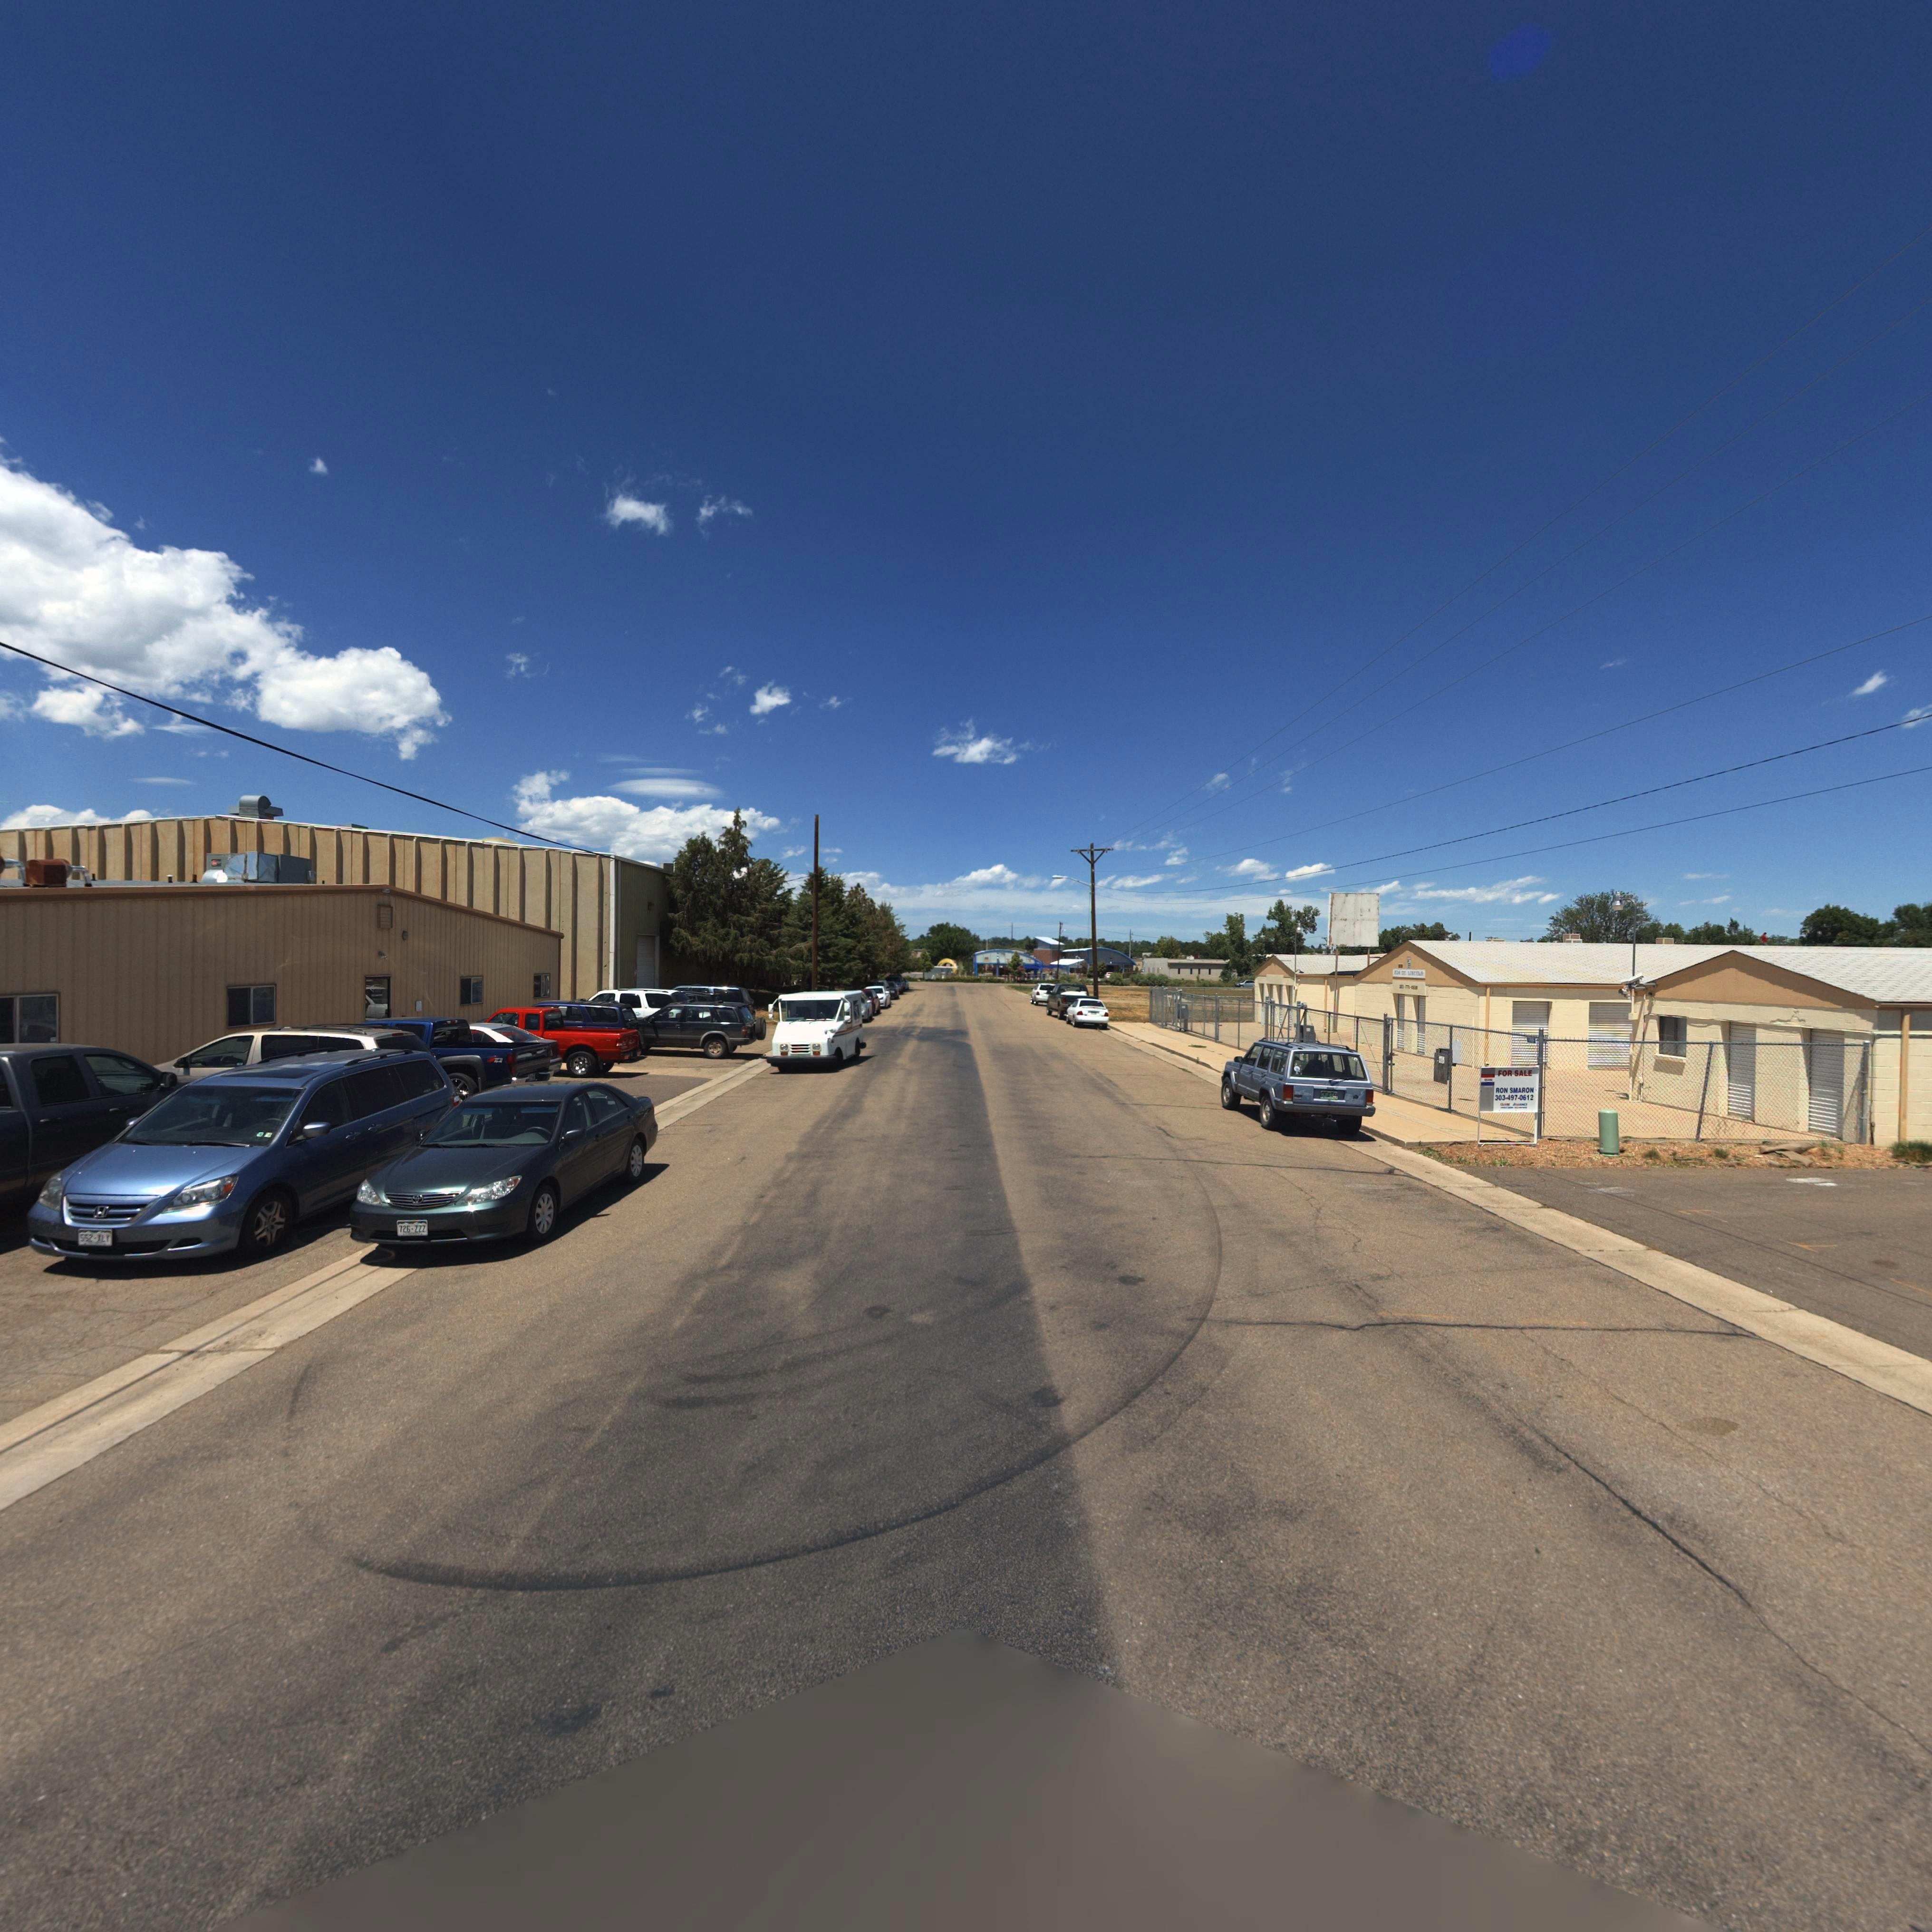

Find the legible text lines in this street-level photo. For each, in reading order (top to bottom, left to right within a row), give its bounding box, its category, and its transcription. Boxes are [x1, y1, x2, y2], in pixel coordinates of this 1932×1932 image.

[1393, 970, 1401, 975] StreetNumber: 7*4
[1401, 970, 1423, 976] StreetName: SO. LI*COLN